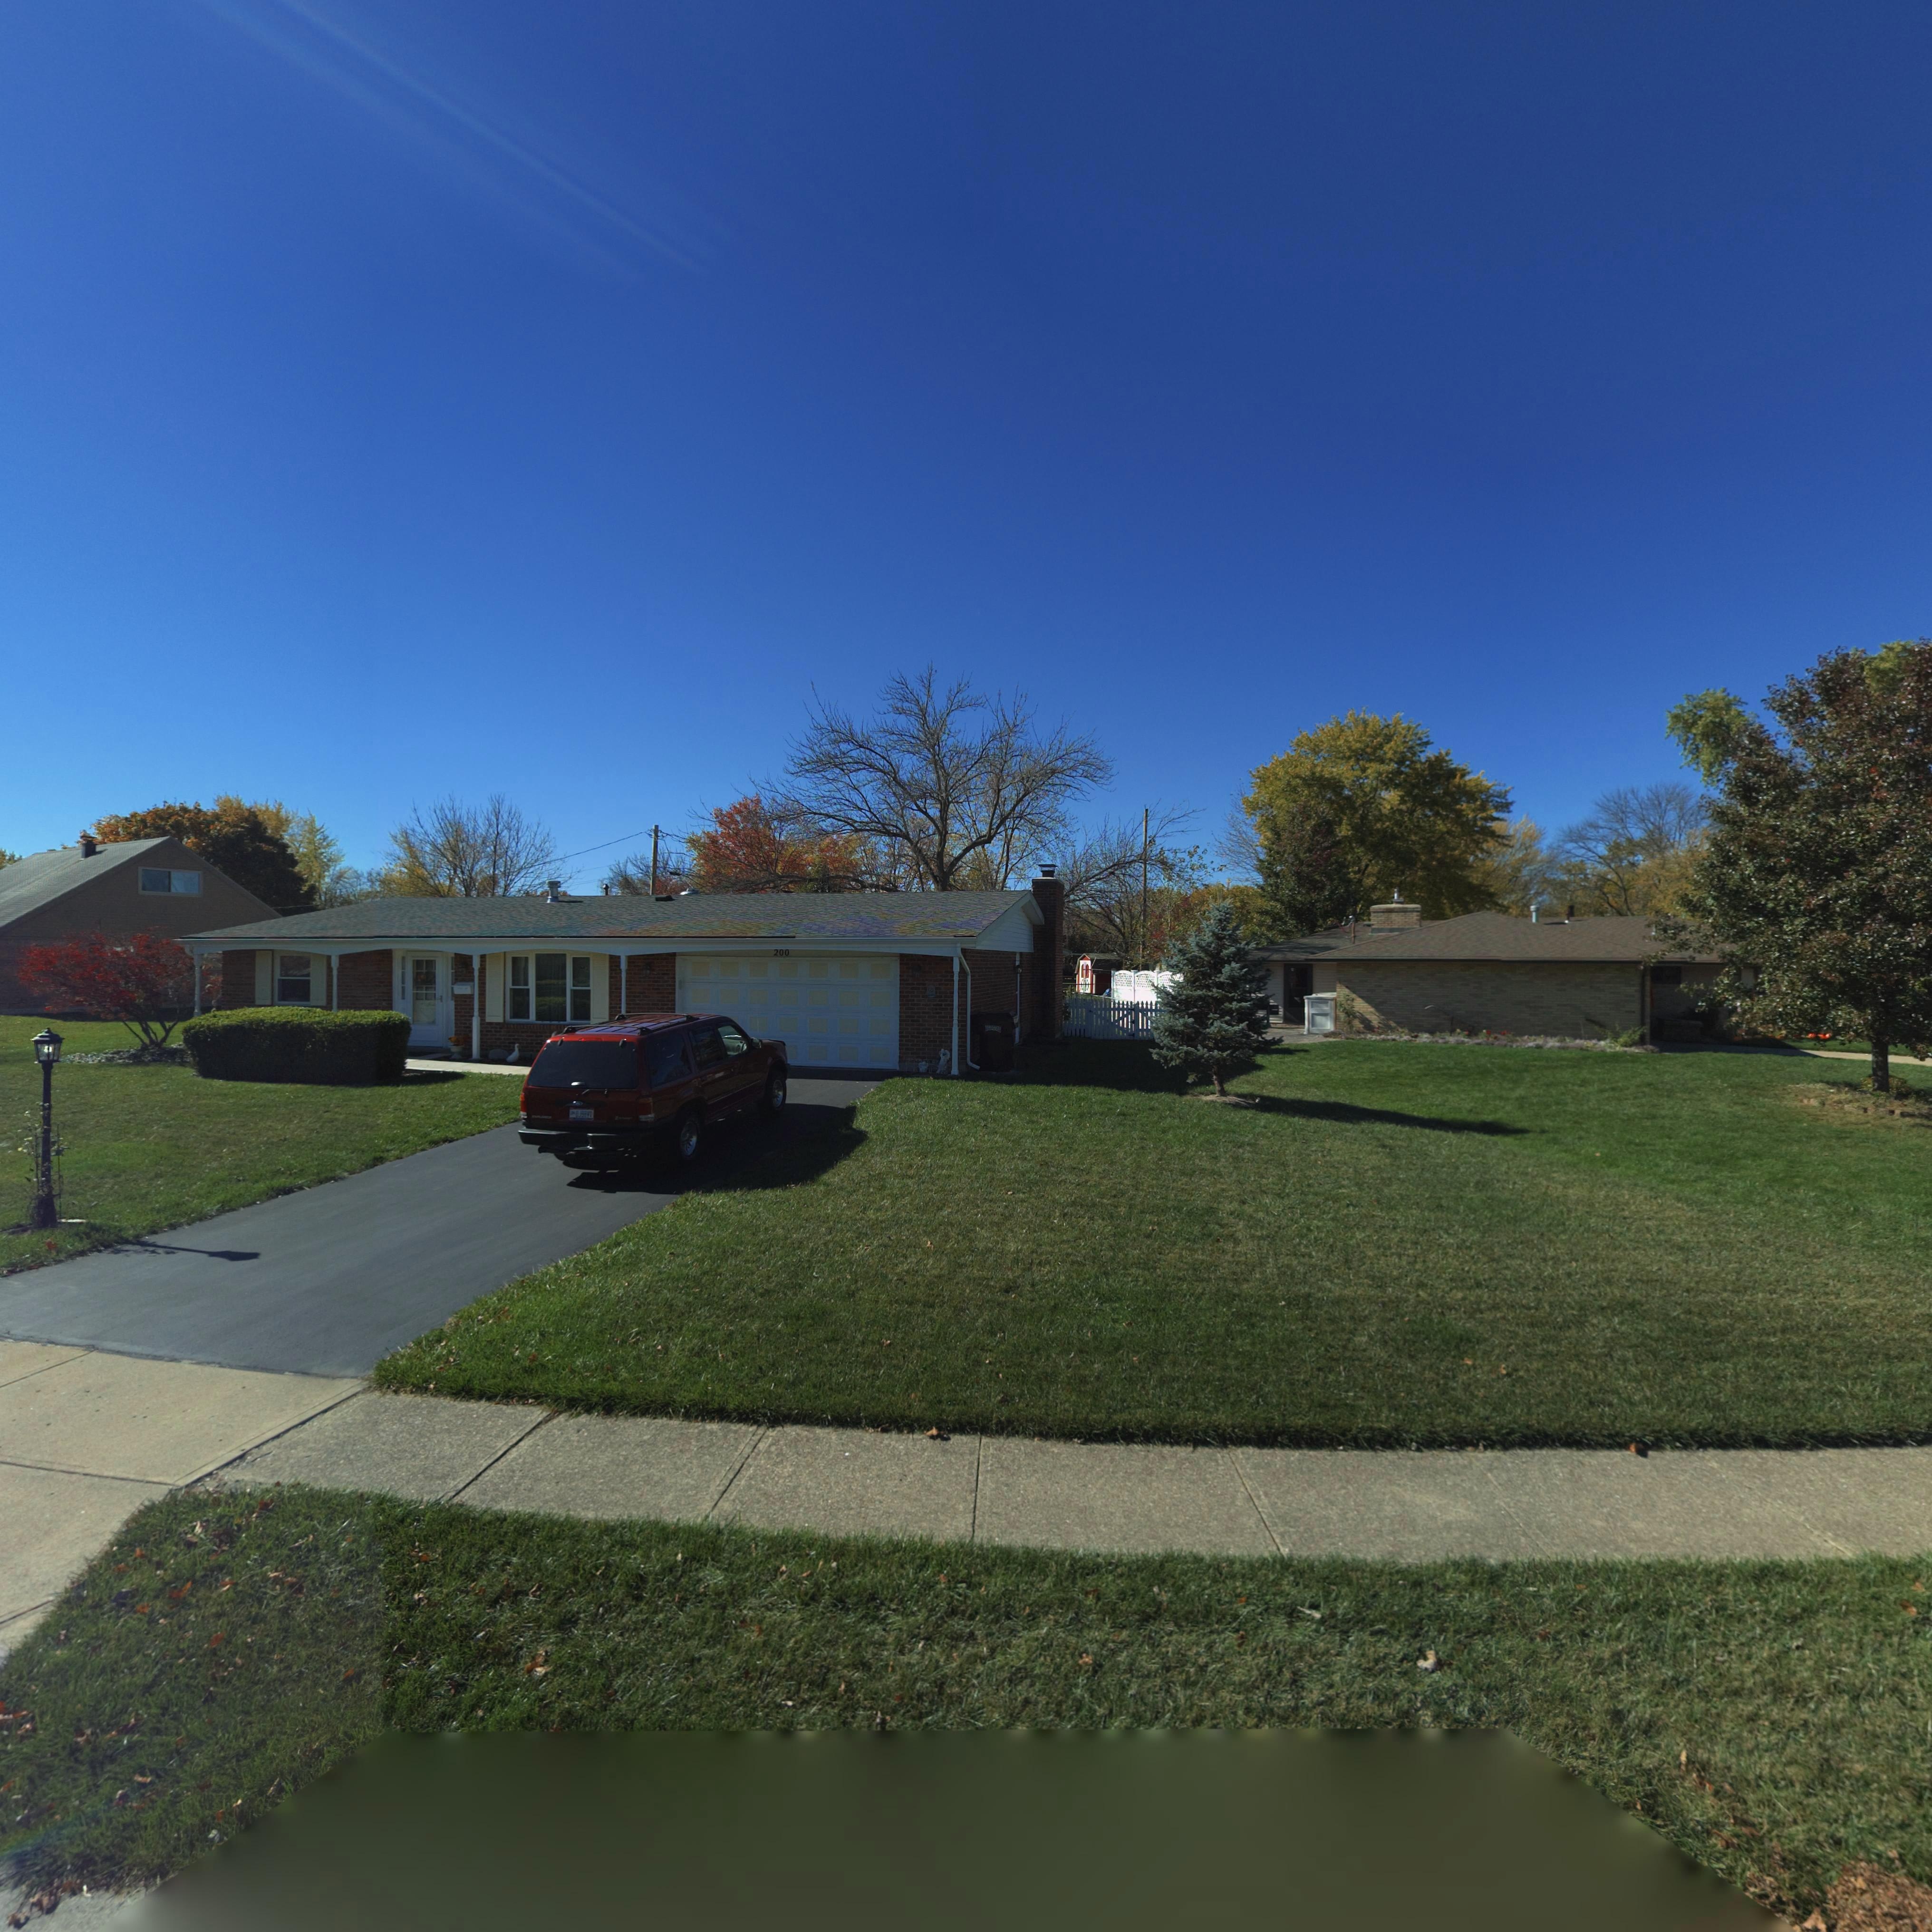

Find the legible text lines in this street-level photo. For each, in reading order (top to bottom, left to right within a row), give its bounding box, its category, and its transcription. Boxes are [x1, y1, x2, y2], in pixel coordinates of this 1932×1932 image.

[773, 948, 790, 957] StreetNumber: 200